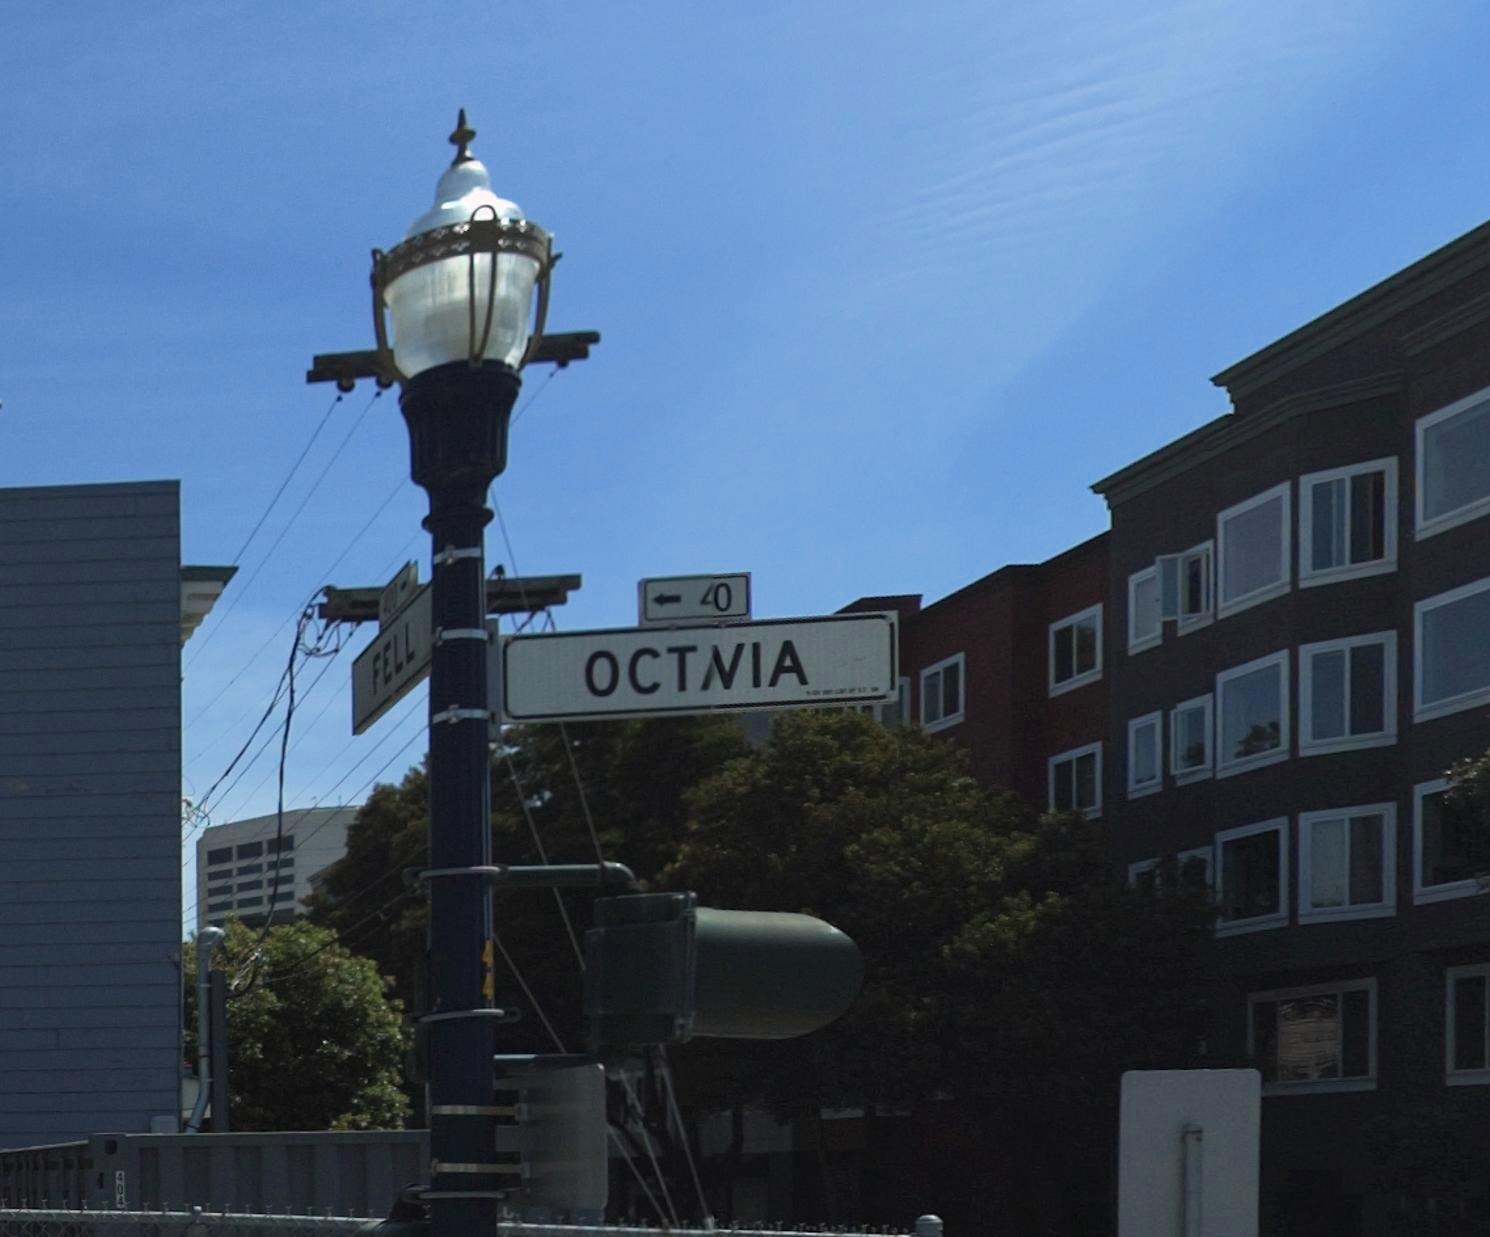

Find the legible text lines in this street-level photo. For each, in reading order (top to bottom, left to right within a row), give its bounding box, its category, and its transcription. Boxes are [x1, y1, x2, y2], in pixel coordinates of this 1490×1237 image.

[378, 564, 413, 621] StreetNumberRange: *00->
[648, 577, 740, 622] StreetNumberRange: <-*0
[364, 613, 420, 707] StreetName: FELL
[583, 633, 814, 700] StreetName: OCT*VIA
[481, 937, 496, 1003] None: 44